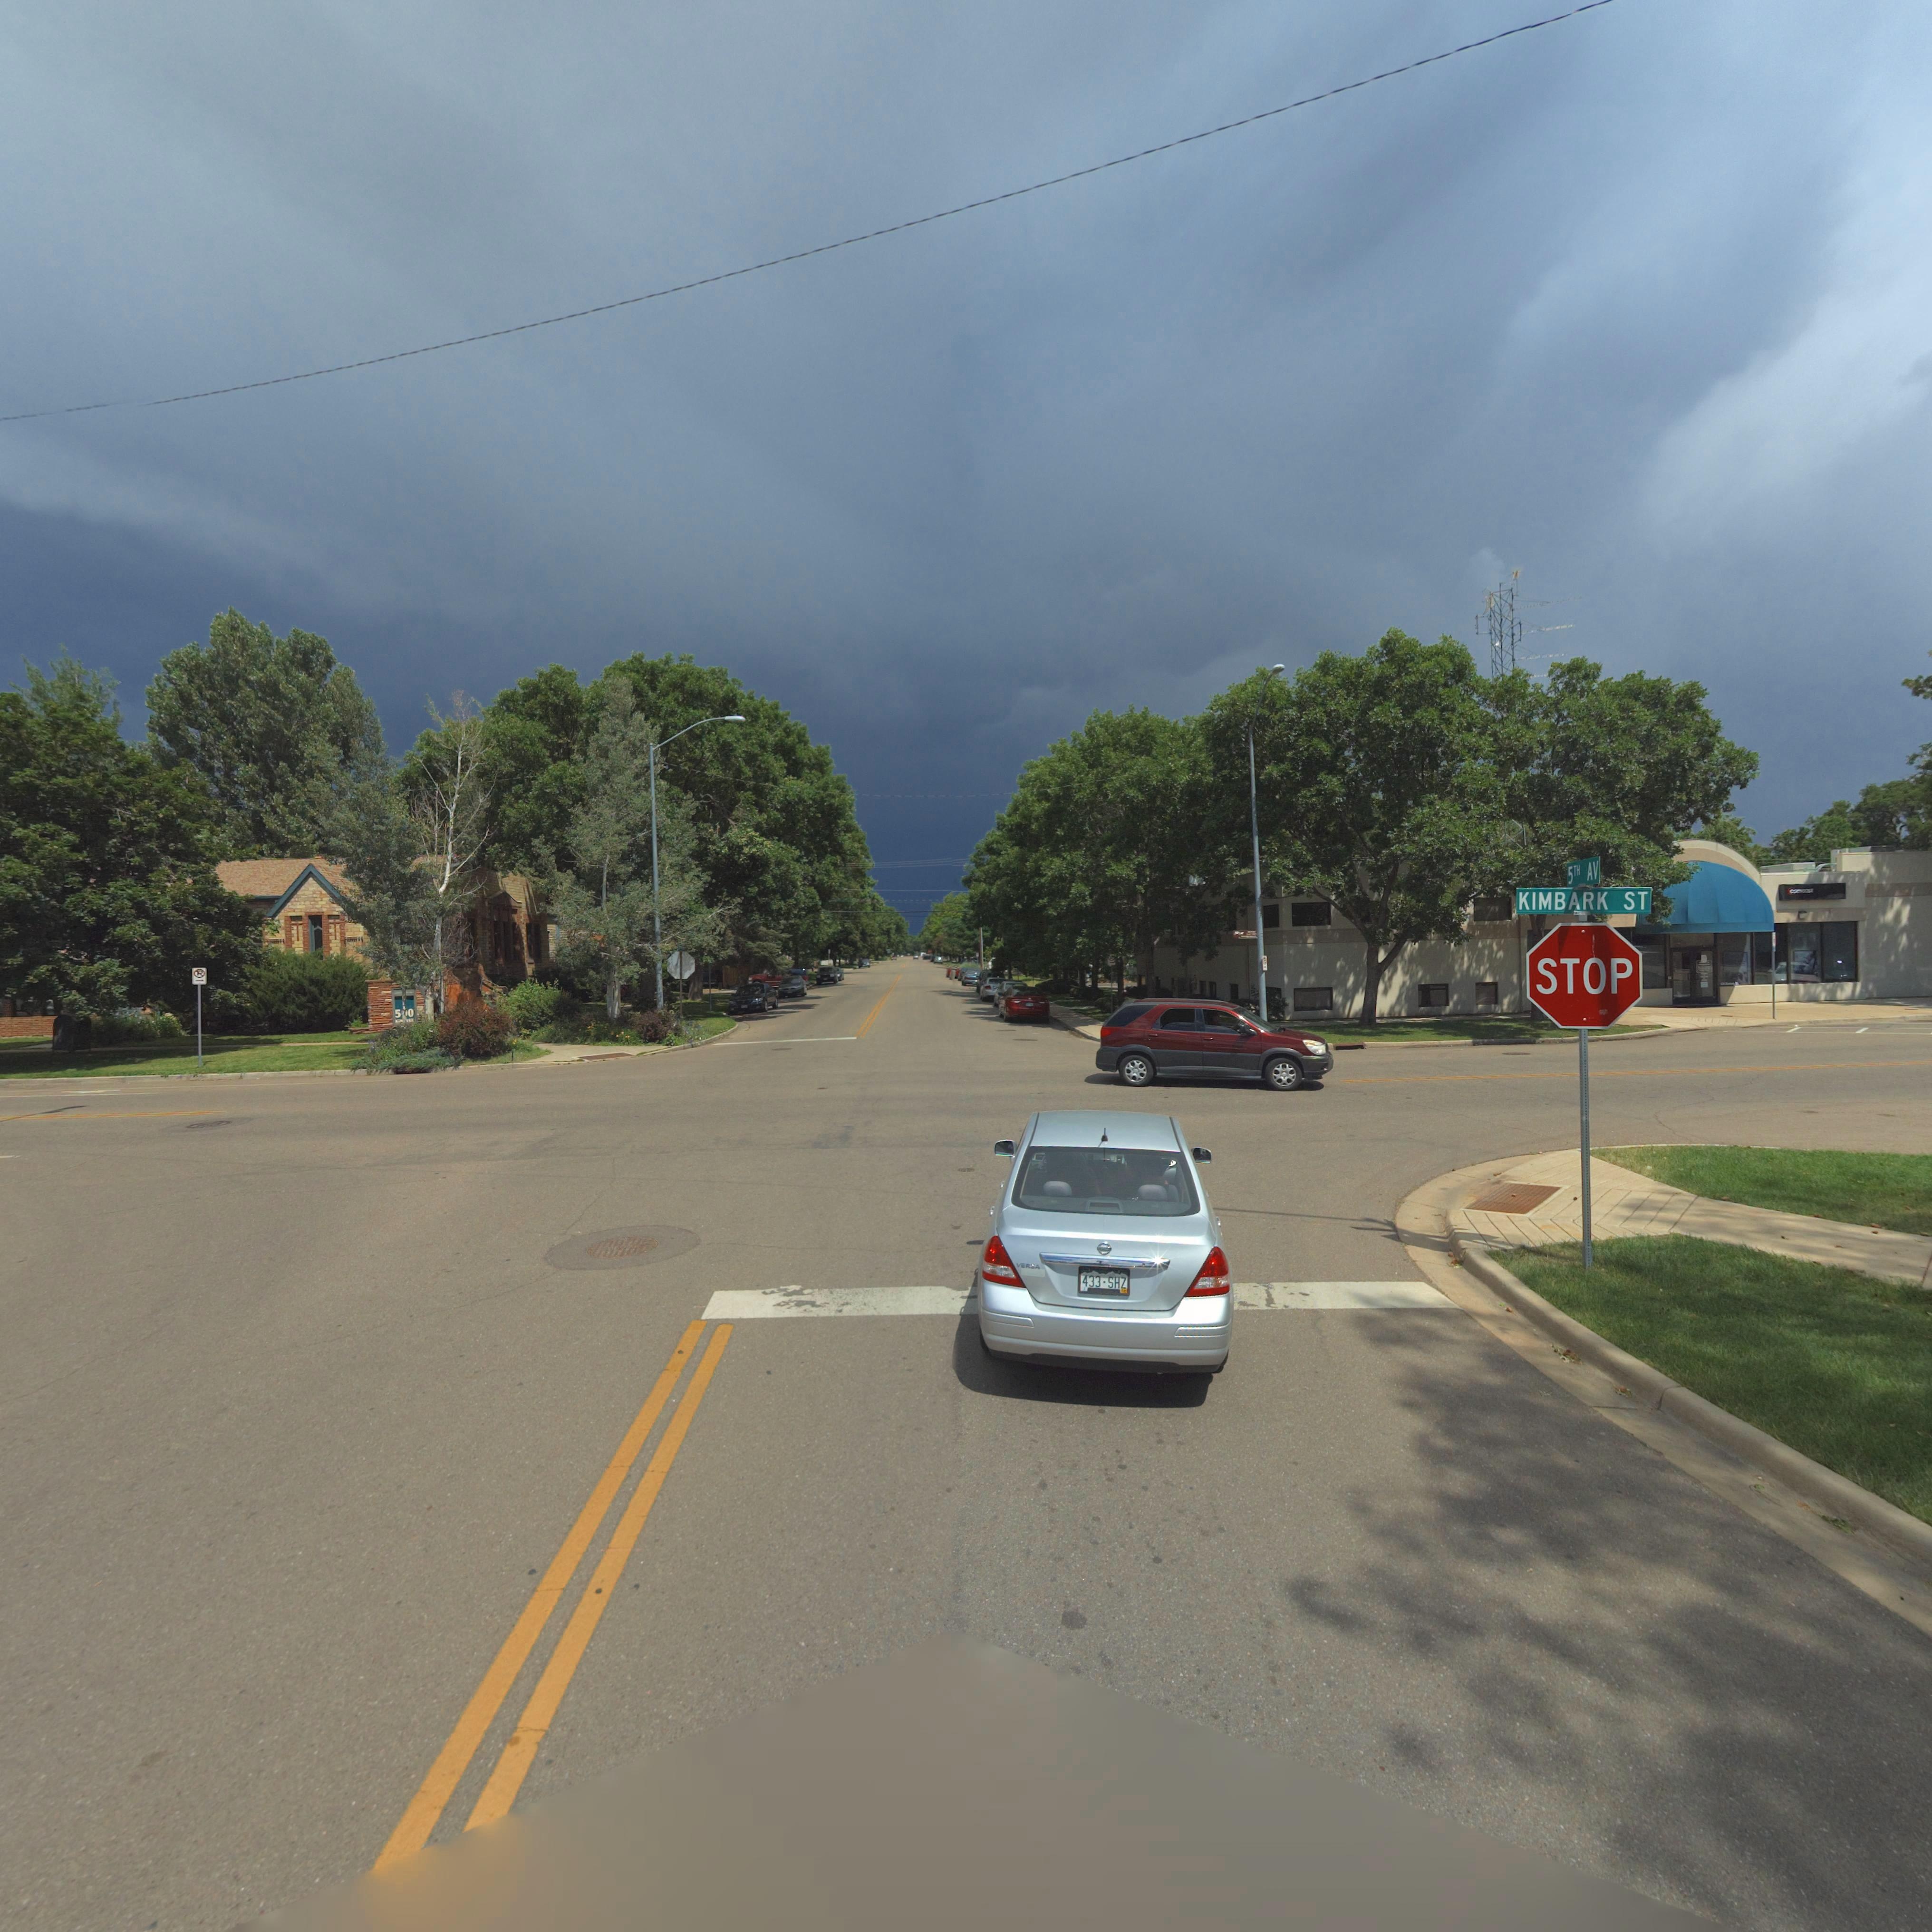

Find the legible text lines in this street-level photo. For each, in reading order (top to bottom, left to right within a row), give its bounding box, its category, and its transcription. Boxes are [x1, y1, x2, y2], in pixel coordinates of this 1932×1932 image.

[1568, 860, 1599, 884] StreetName: 5TH AV
[1789, 888, 1814, 894] BusinessName: comcast
[1518, 891, 1648, 910] StreetName: KIMBARK ST
[395, 1007, 414, 1018] StreetNumber: 5*0
[394, 1018, 414, 1023] StreetName: KI***RK